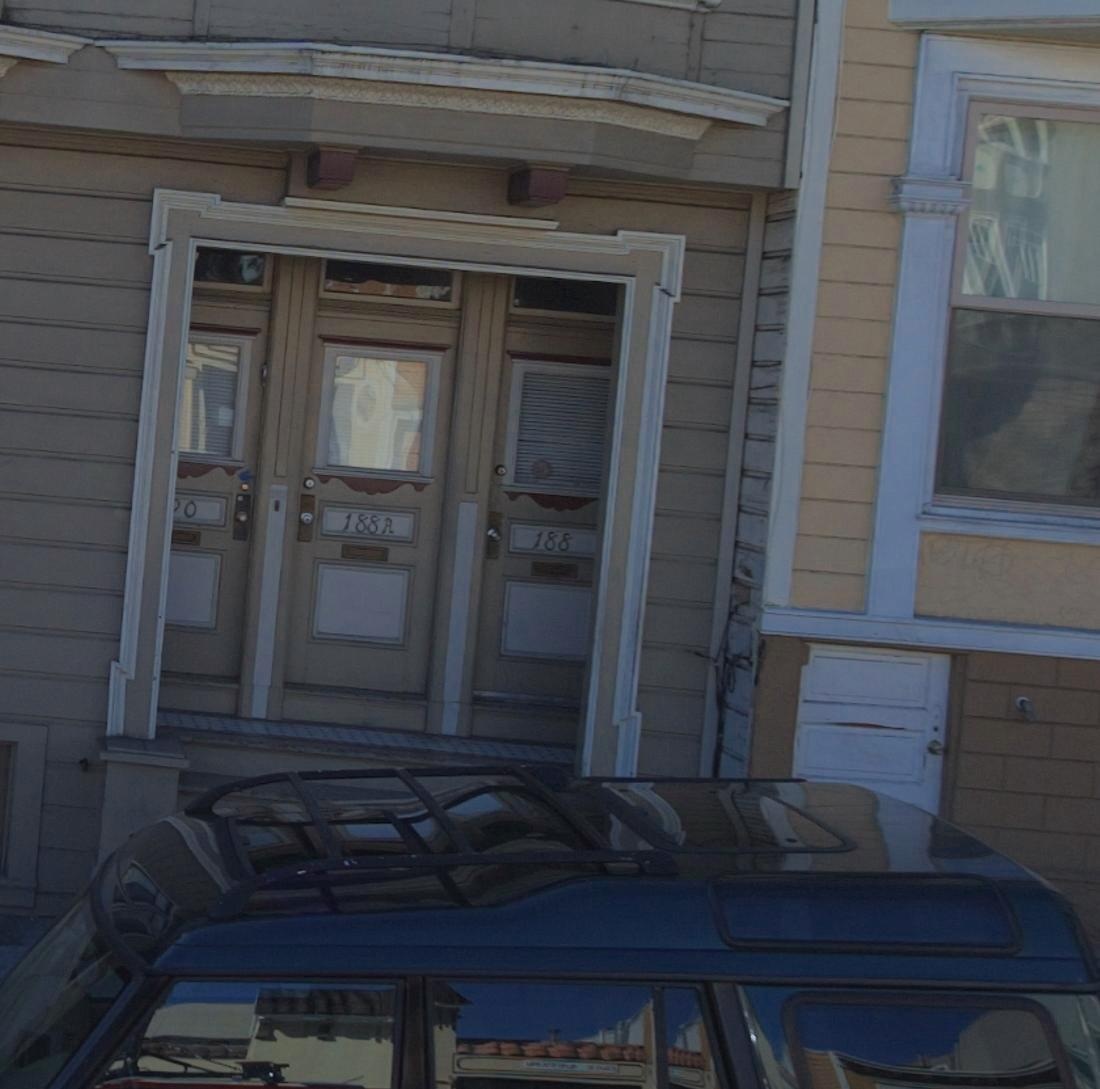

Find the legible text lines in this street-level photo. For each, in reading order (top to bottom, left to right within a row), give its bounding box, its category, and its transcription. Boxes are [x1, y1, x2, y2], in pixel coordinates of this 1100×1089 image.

[182, 497, 198, 520] StreetNumber: 0
[339, 511, 396, 536] StreetNumber: 188A
[529, 529, 576, 554] StreetNumber: 188